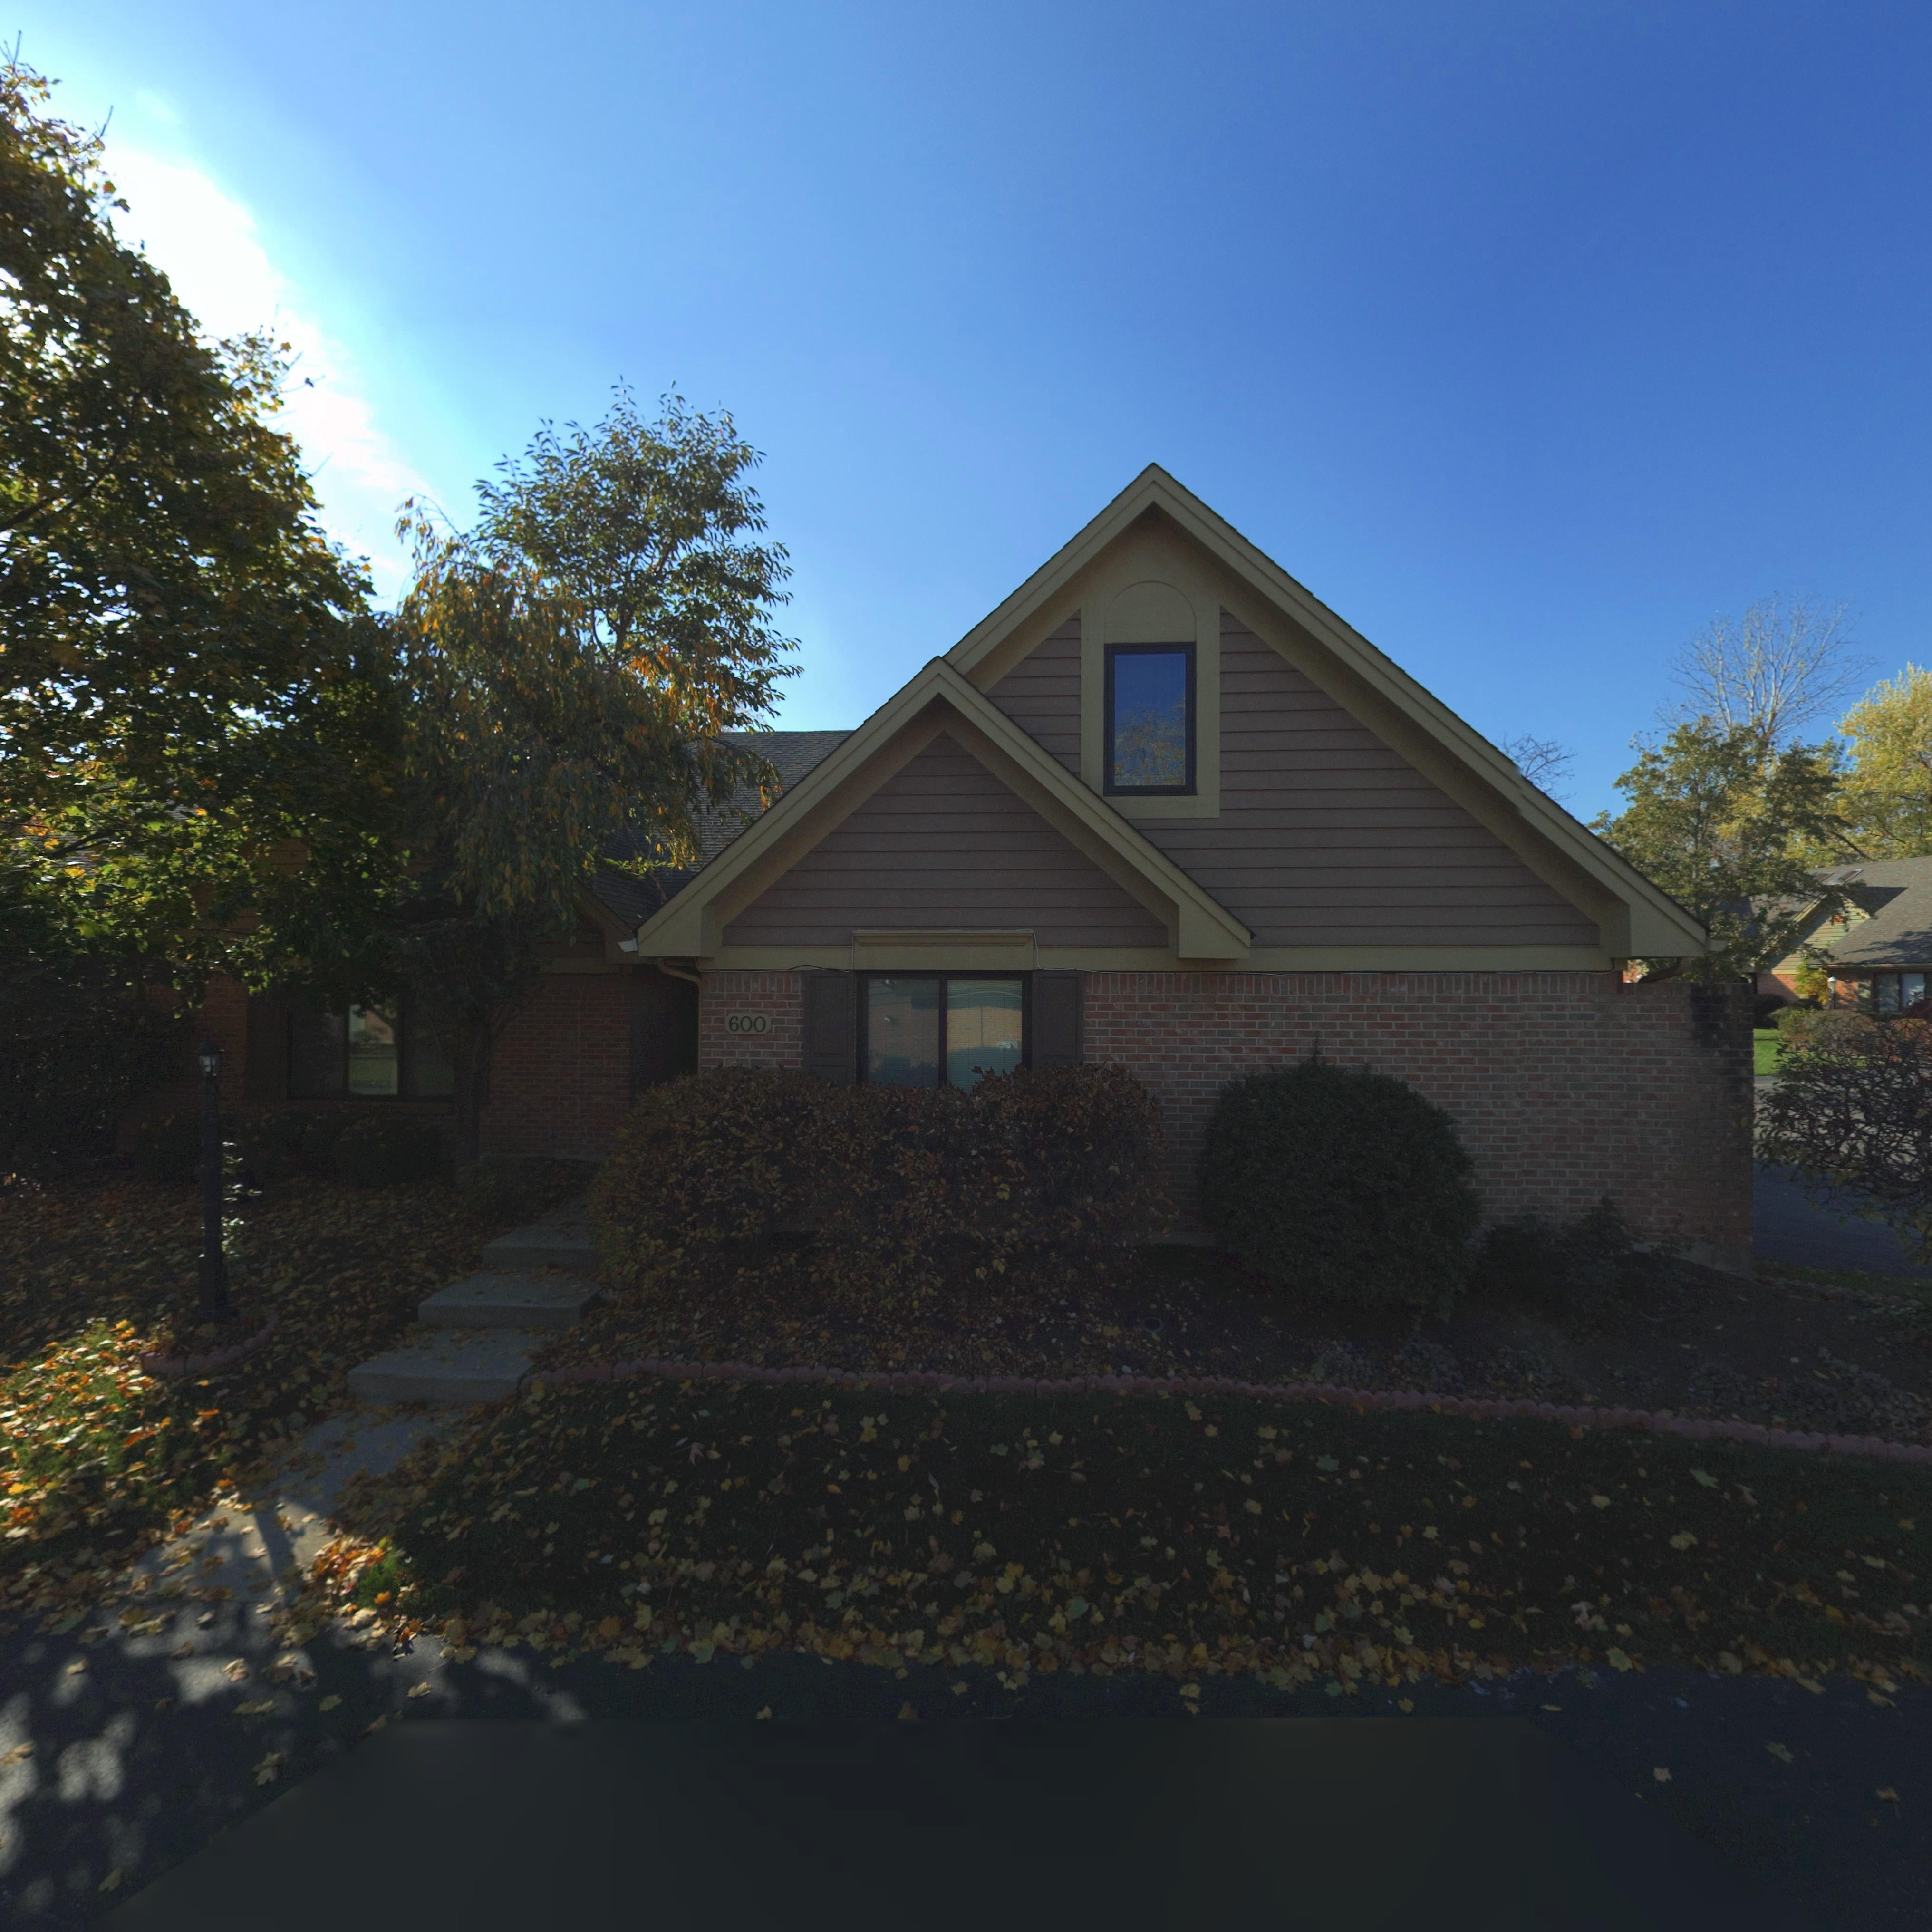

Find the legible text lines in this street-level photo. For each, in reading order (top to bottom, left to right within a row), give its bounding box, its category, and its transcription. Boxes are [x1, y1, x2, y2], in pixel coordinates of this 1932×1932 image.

[727, 1014, 767, 1033] StreetNumber: 600